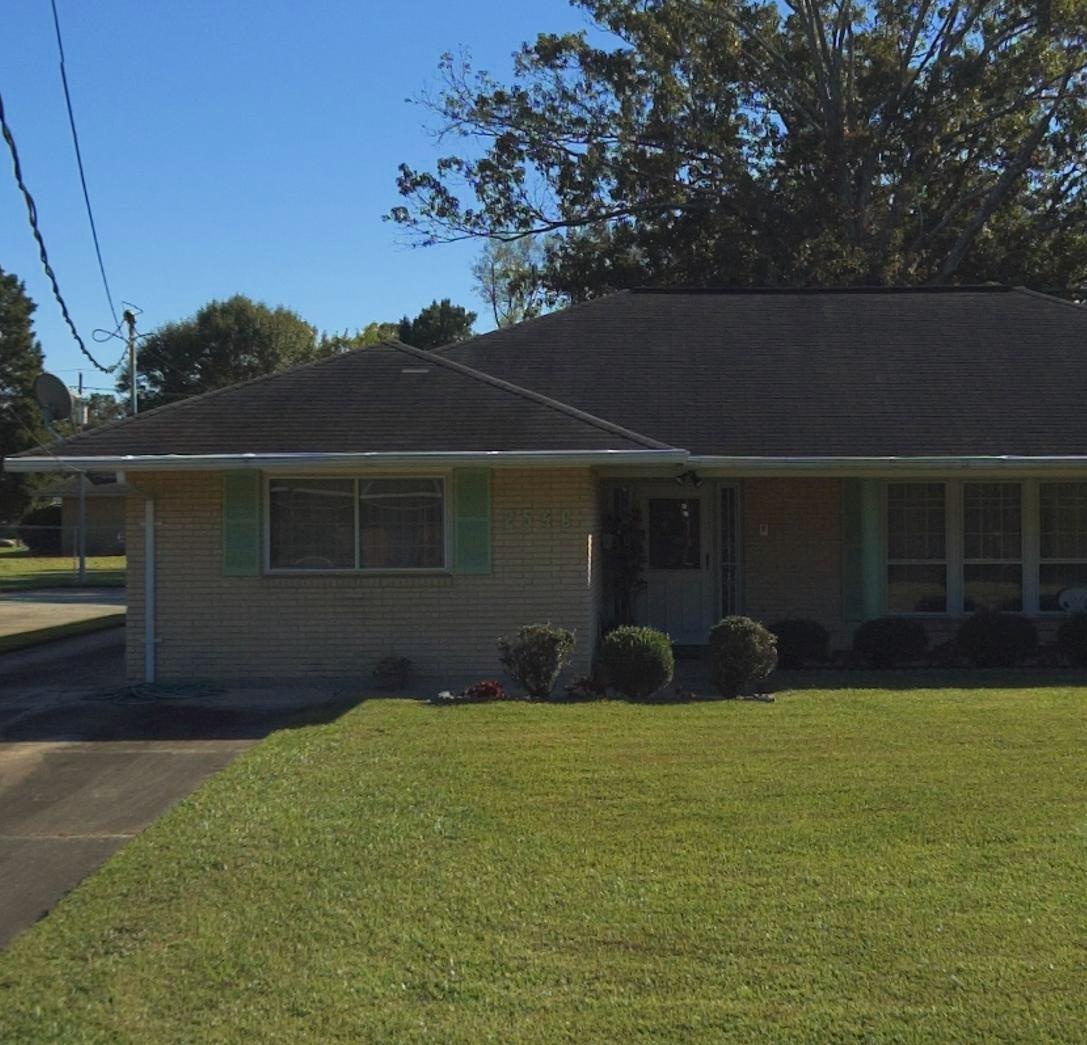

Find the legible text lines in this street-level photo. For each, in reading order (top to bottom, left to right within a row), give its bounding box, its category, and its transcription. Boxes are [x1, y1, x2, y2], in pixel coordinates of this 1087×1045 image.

[504, 508, 572, 529] StreetNumber: 2546